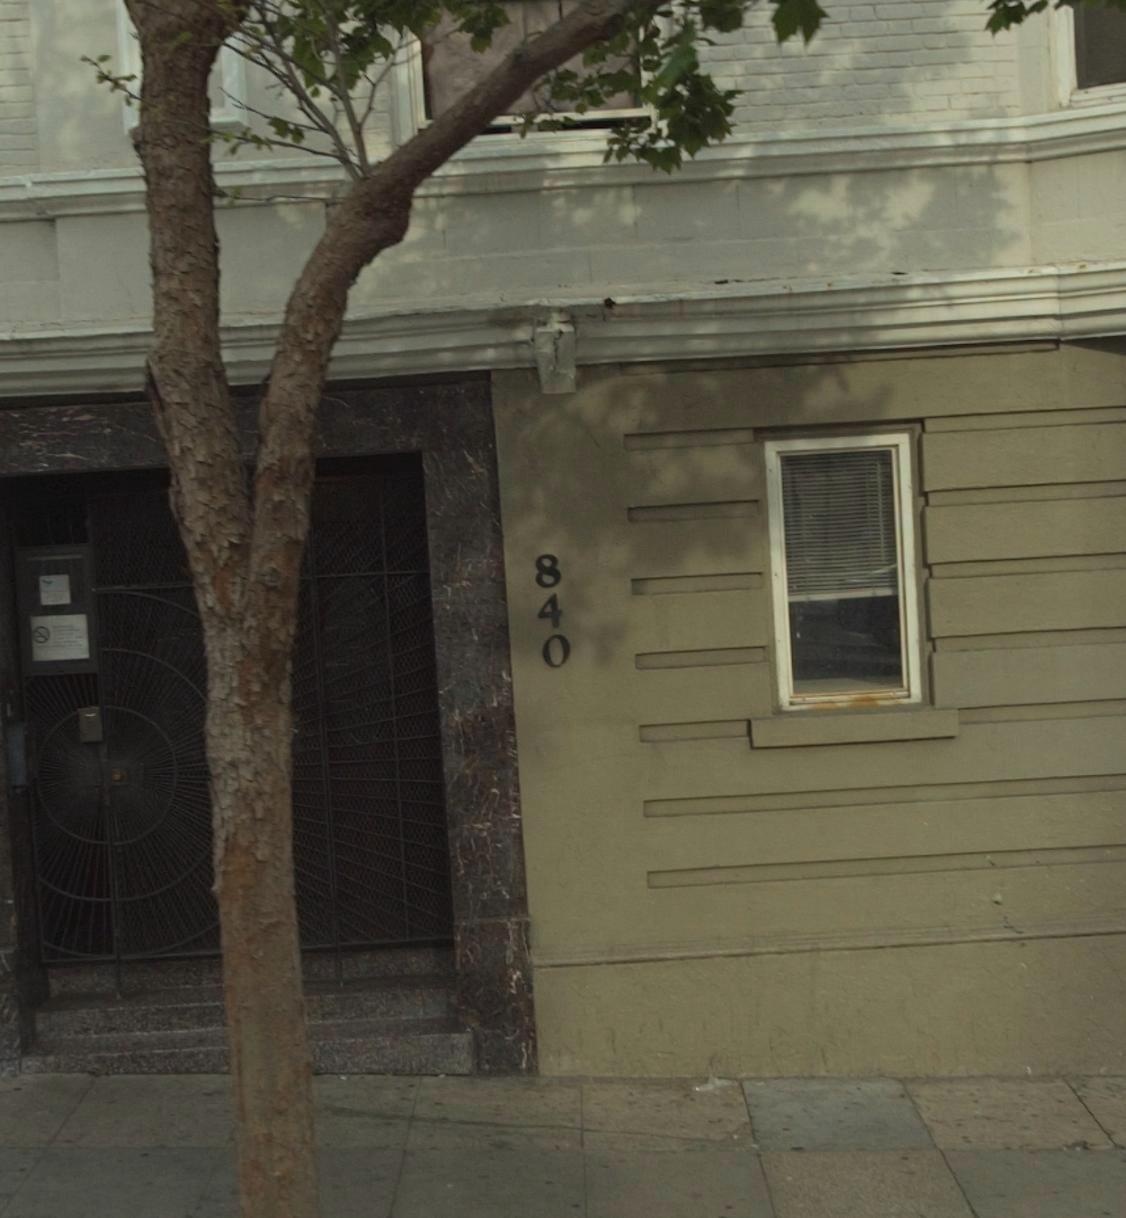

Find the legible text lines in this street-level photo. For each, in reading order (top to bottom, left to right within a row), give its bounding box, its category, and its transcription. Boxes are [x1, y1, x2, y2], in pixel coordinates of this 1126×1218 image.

[533, 553, 574, 671] StreetNumber: 840